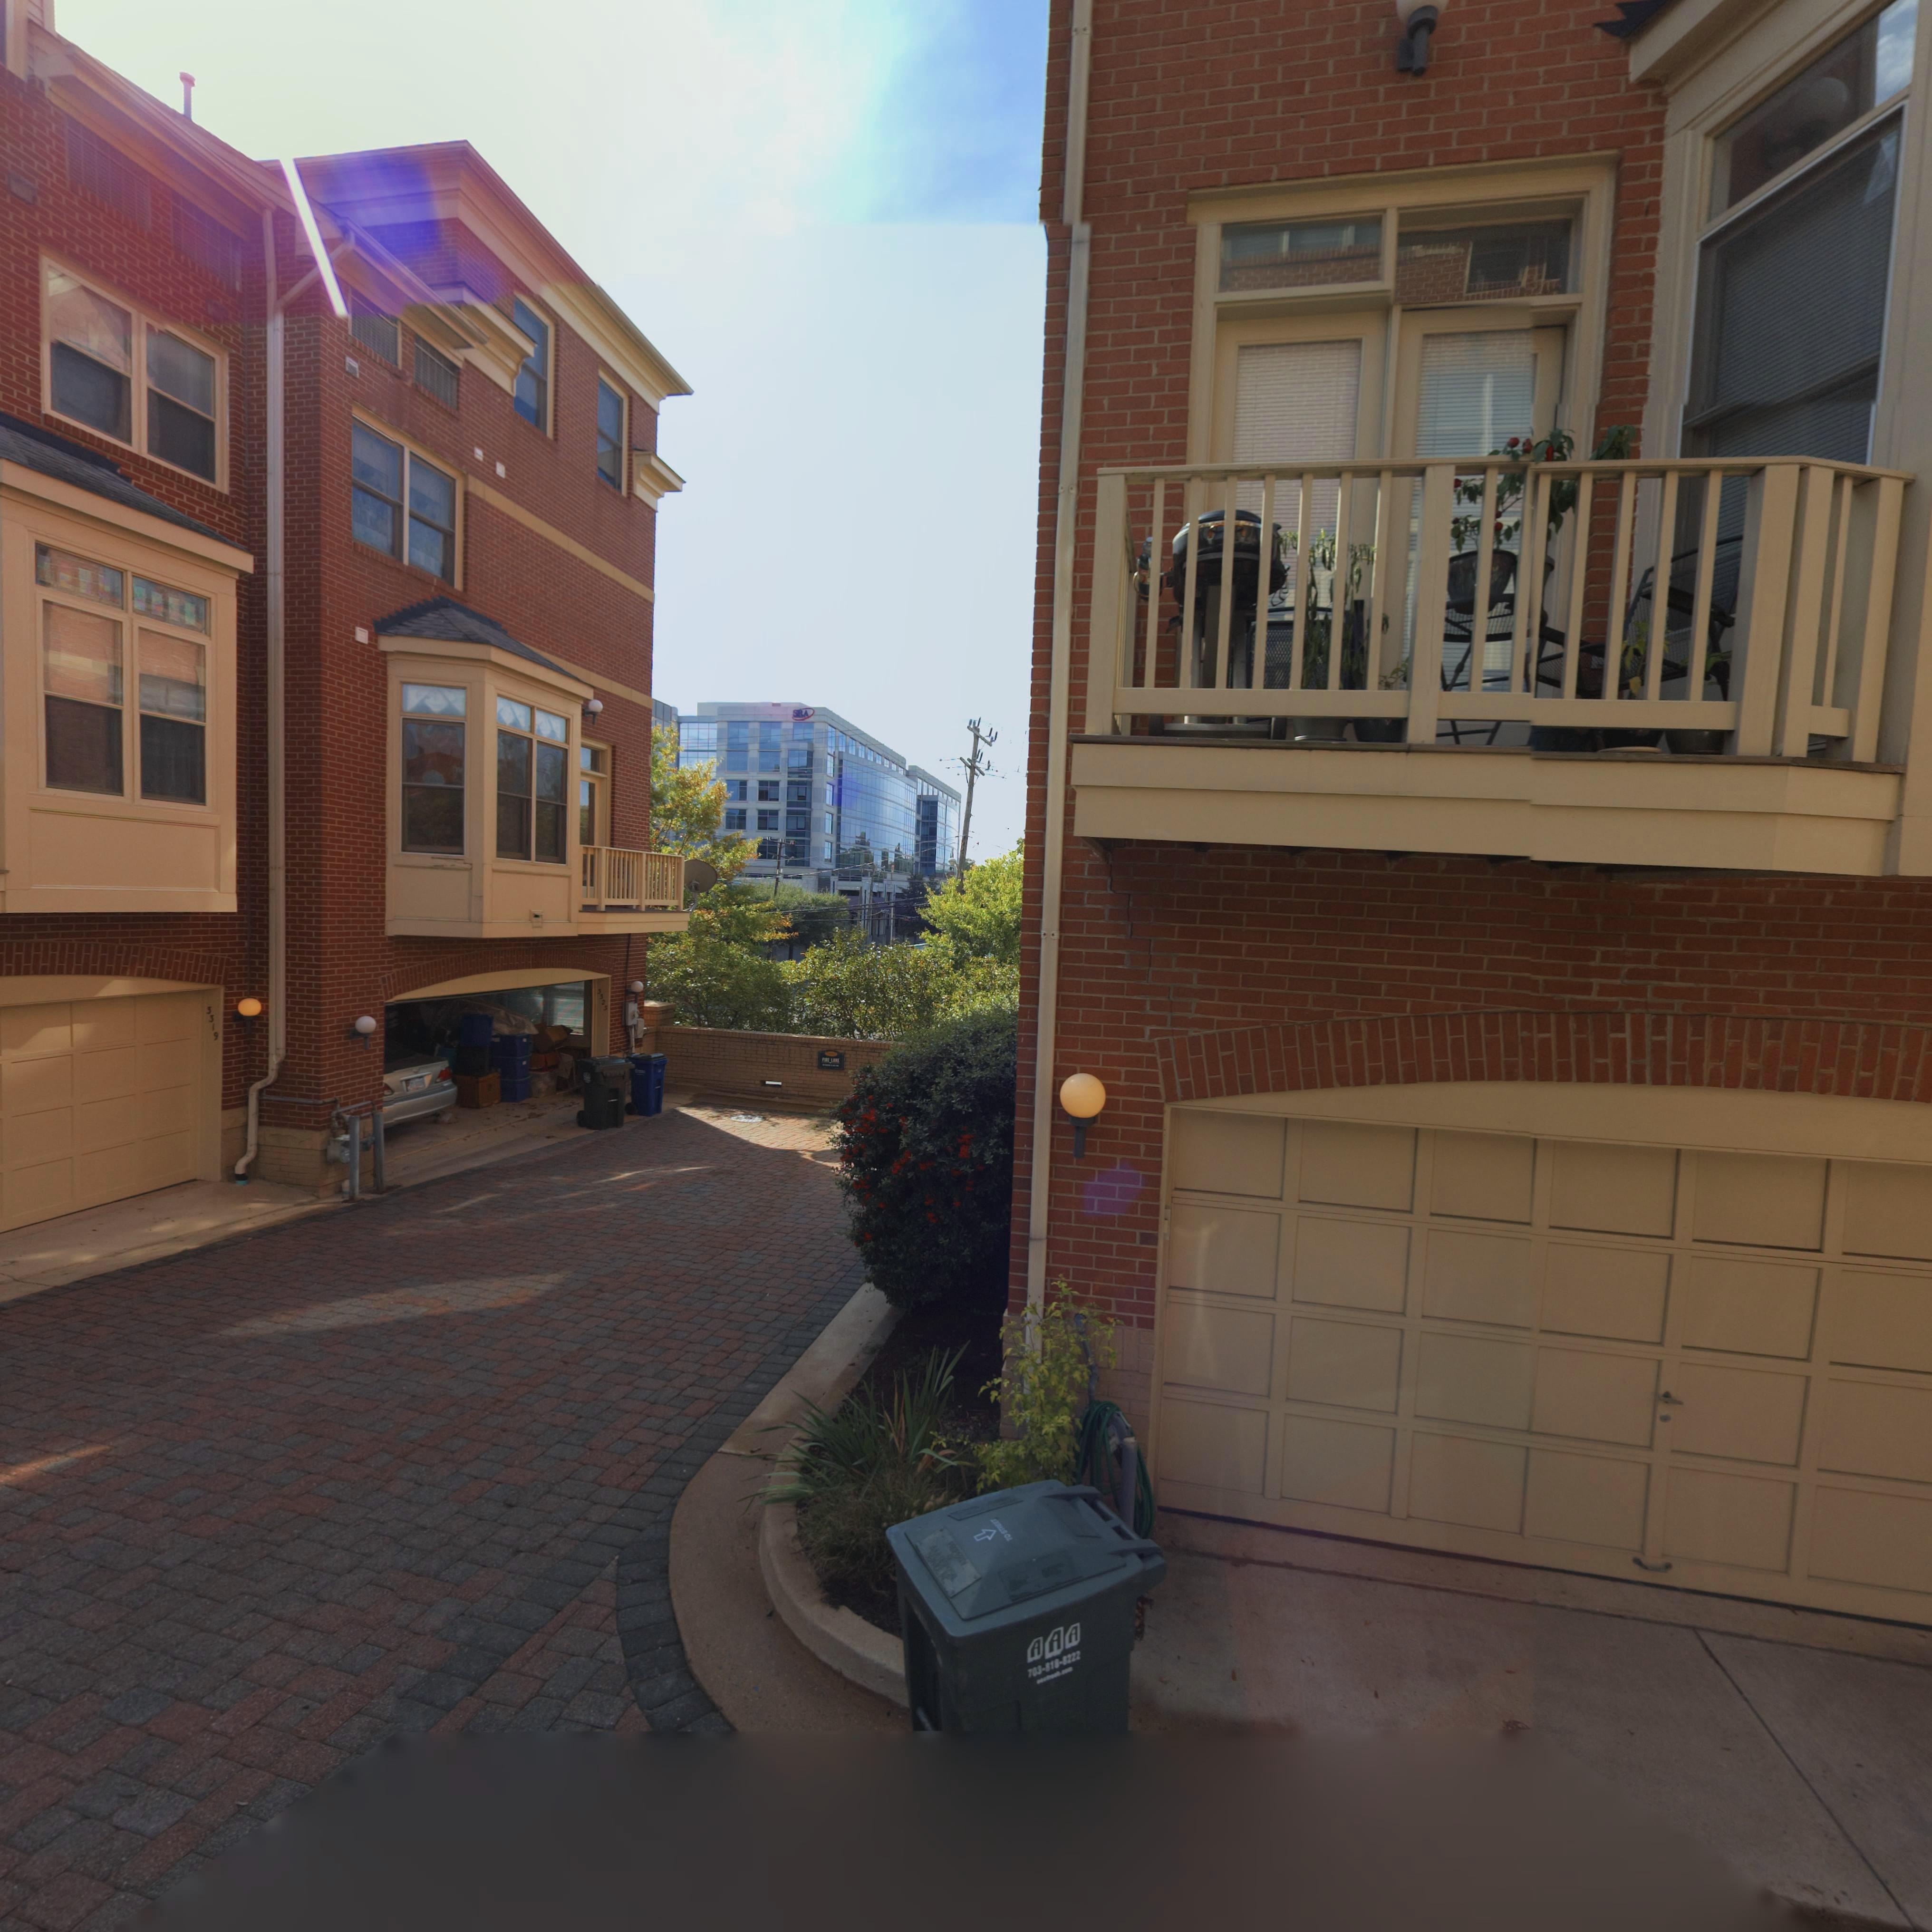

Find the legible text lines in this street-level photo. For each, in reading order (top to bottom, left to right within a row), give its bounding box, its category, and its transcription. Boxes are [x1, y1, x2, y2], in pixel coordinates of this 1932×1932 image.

[596, 987, 609, 1012] StreetNumber: 3525
[204, 1005, 220, 1043] StreetNumber: 3319
[1029, 1624, 1079, 1660] None: AAA
[1025, 1648, 1082, 1680] None: 703-818-8222